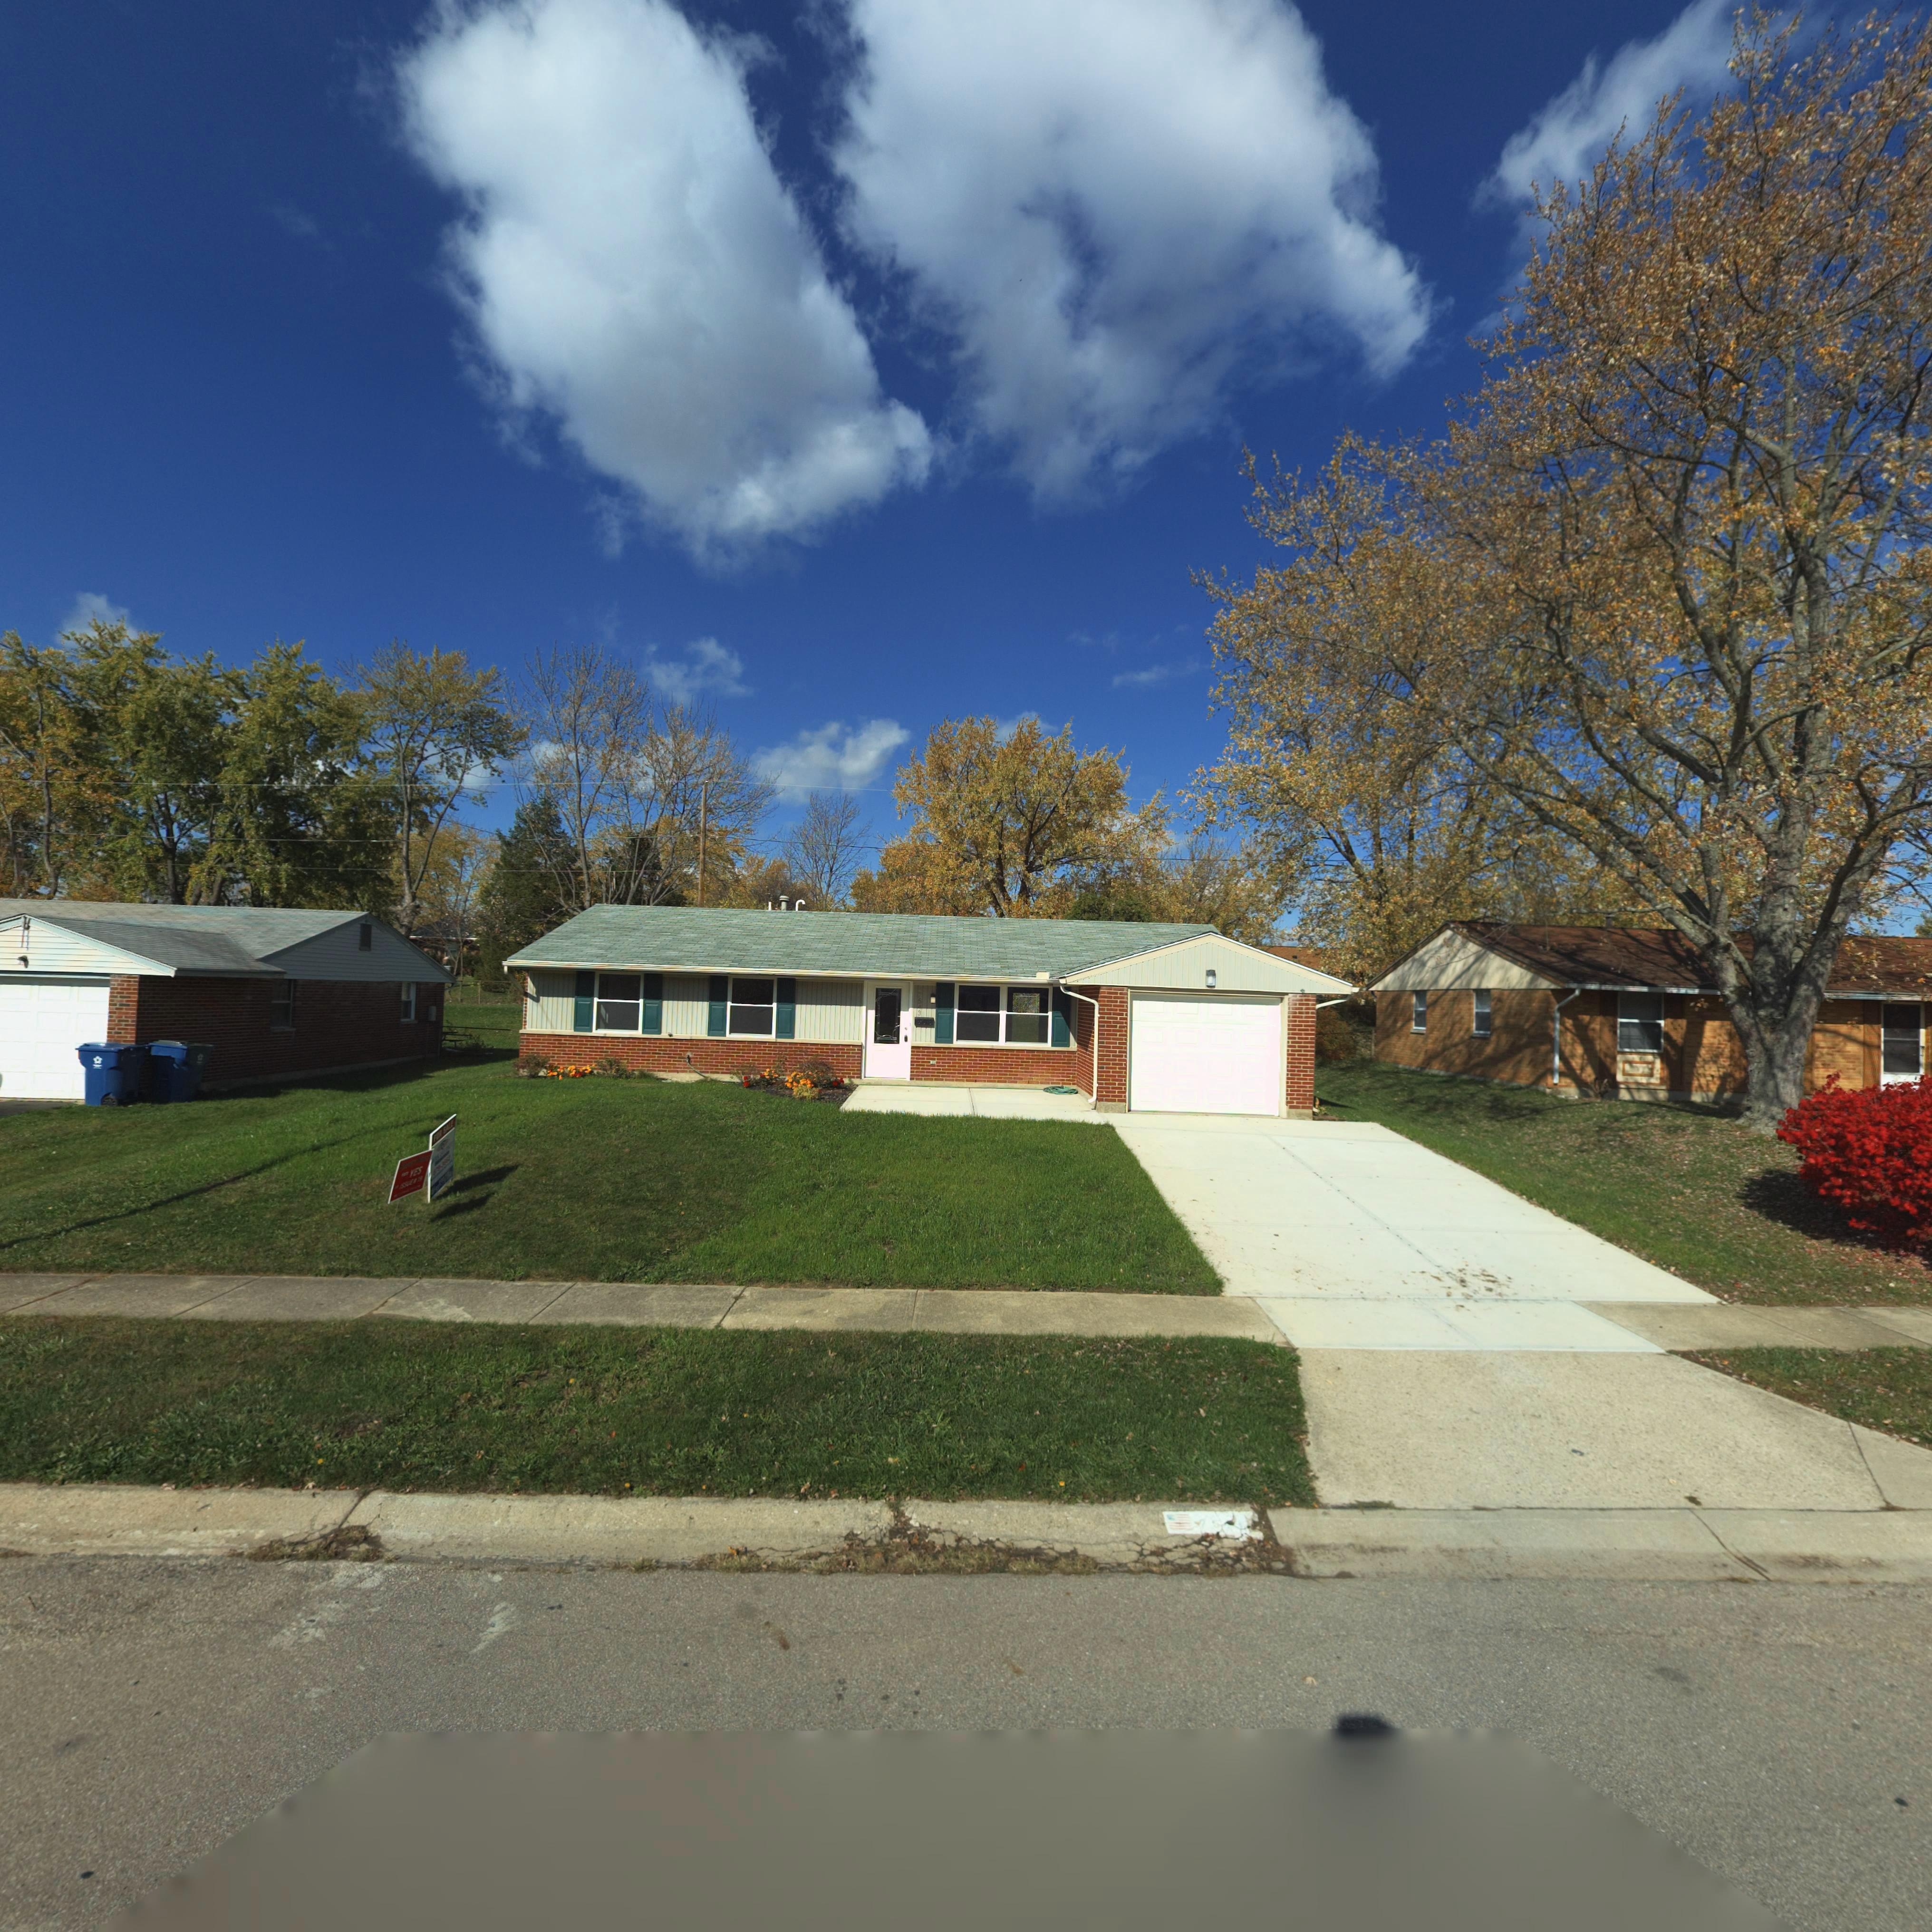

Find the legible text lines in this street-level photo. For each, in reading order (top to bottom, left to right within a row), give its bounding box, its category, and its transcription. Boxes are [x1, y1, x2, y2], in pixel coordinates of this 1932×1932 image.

[917, 991, 922, 1016] StreetNumber: 7543
[1197, 1518, 1221, 1529] StreetNumber: 75